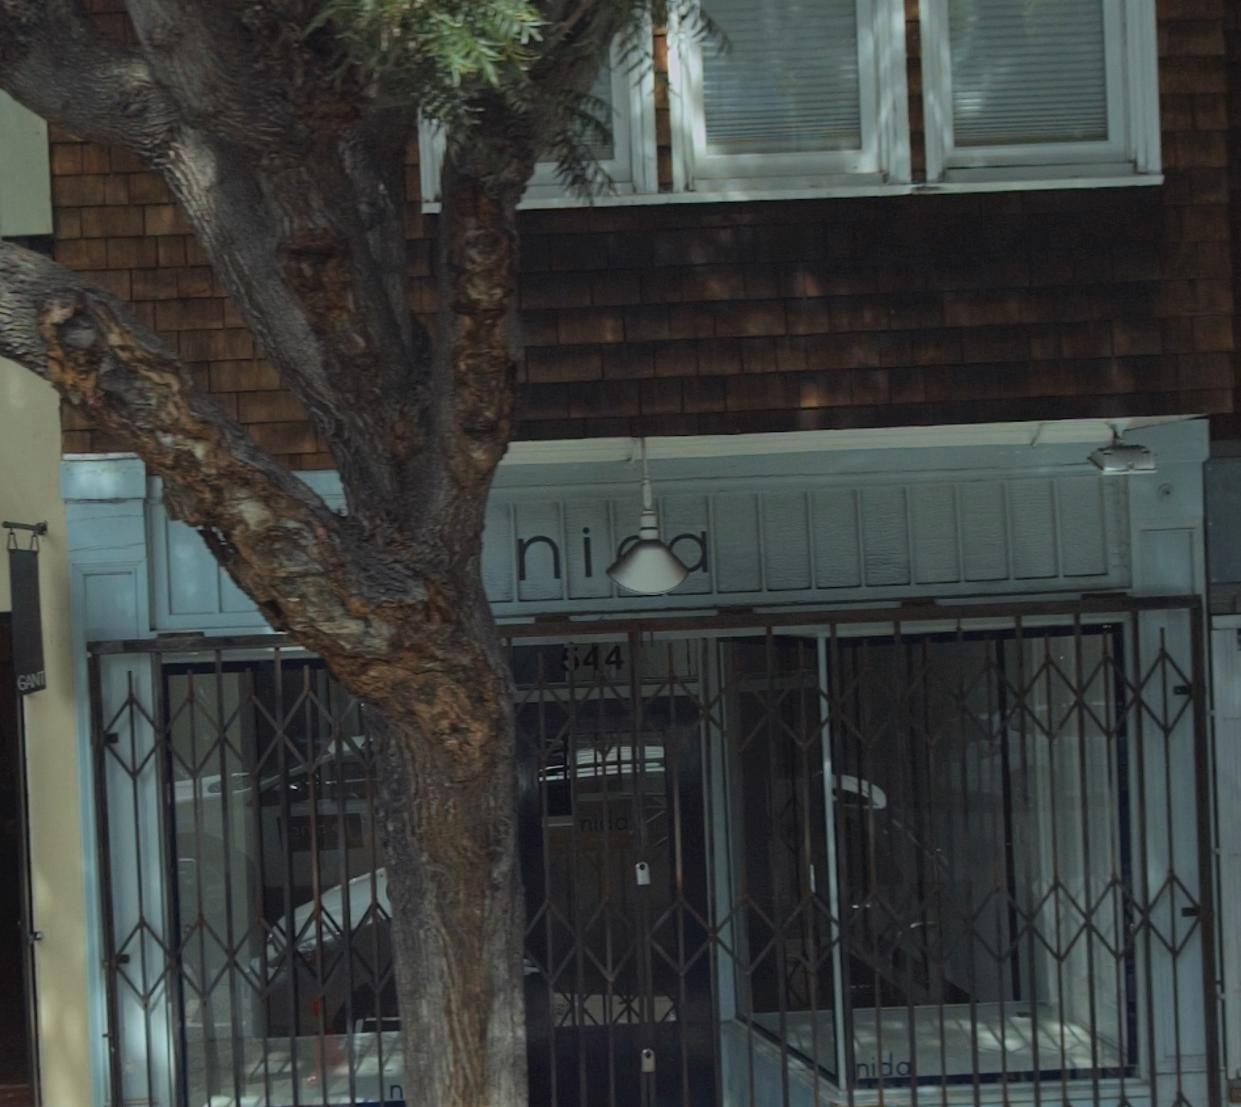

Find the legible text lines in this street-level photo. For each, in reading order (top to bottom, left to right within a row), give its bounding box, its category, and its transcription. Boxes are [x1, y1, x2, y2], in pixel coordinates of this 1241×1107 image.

[514, 524, 710, 583] BusinessName: ni**
[557, 641, 627, 677] StreetNumber: *44
[15, 668, 43, 695] None: GAN
[576, 806, 630, 836] BusinessName: ni*a
[852, 1050, 916, 1081] BusinessName: ni*a
[385, 1080, 405, 1104] None: n